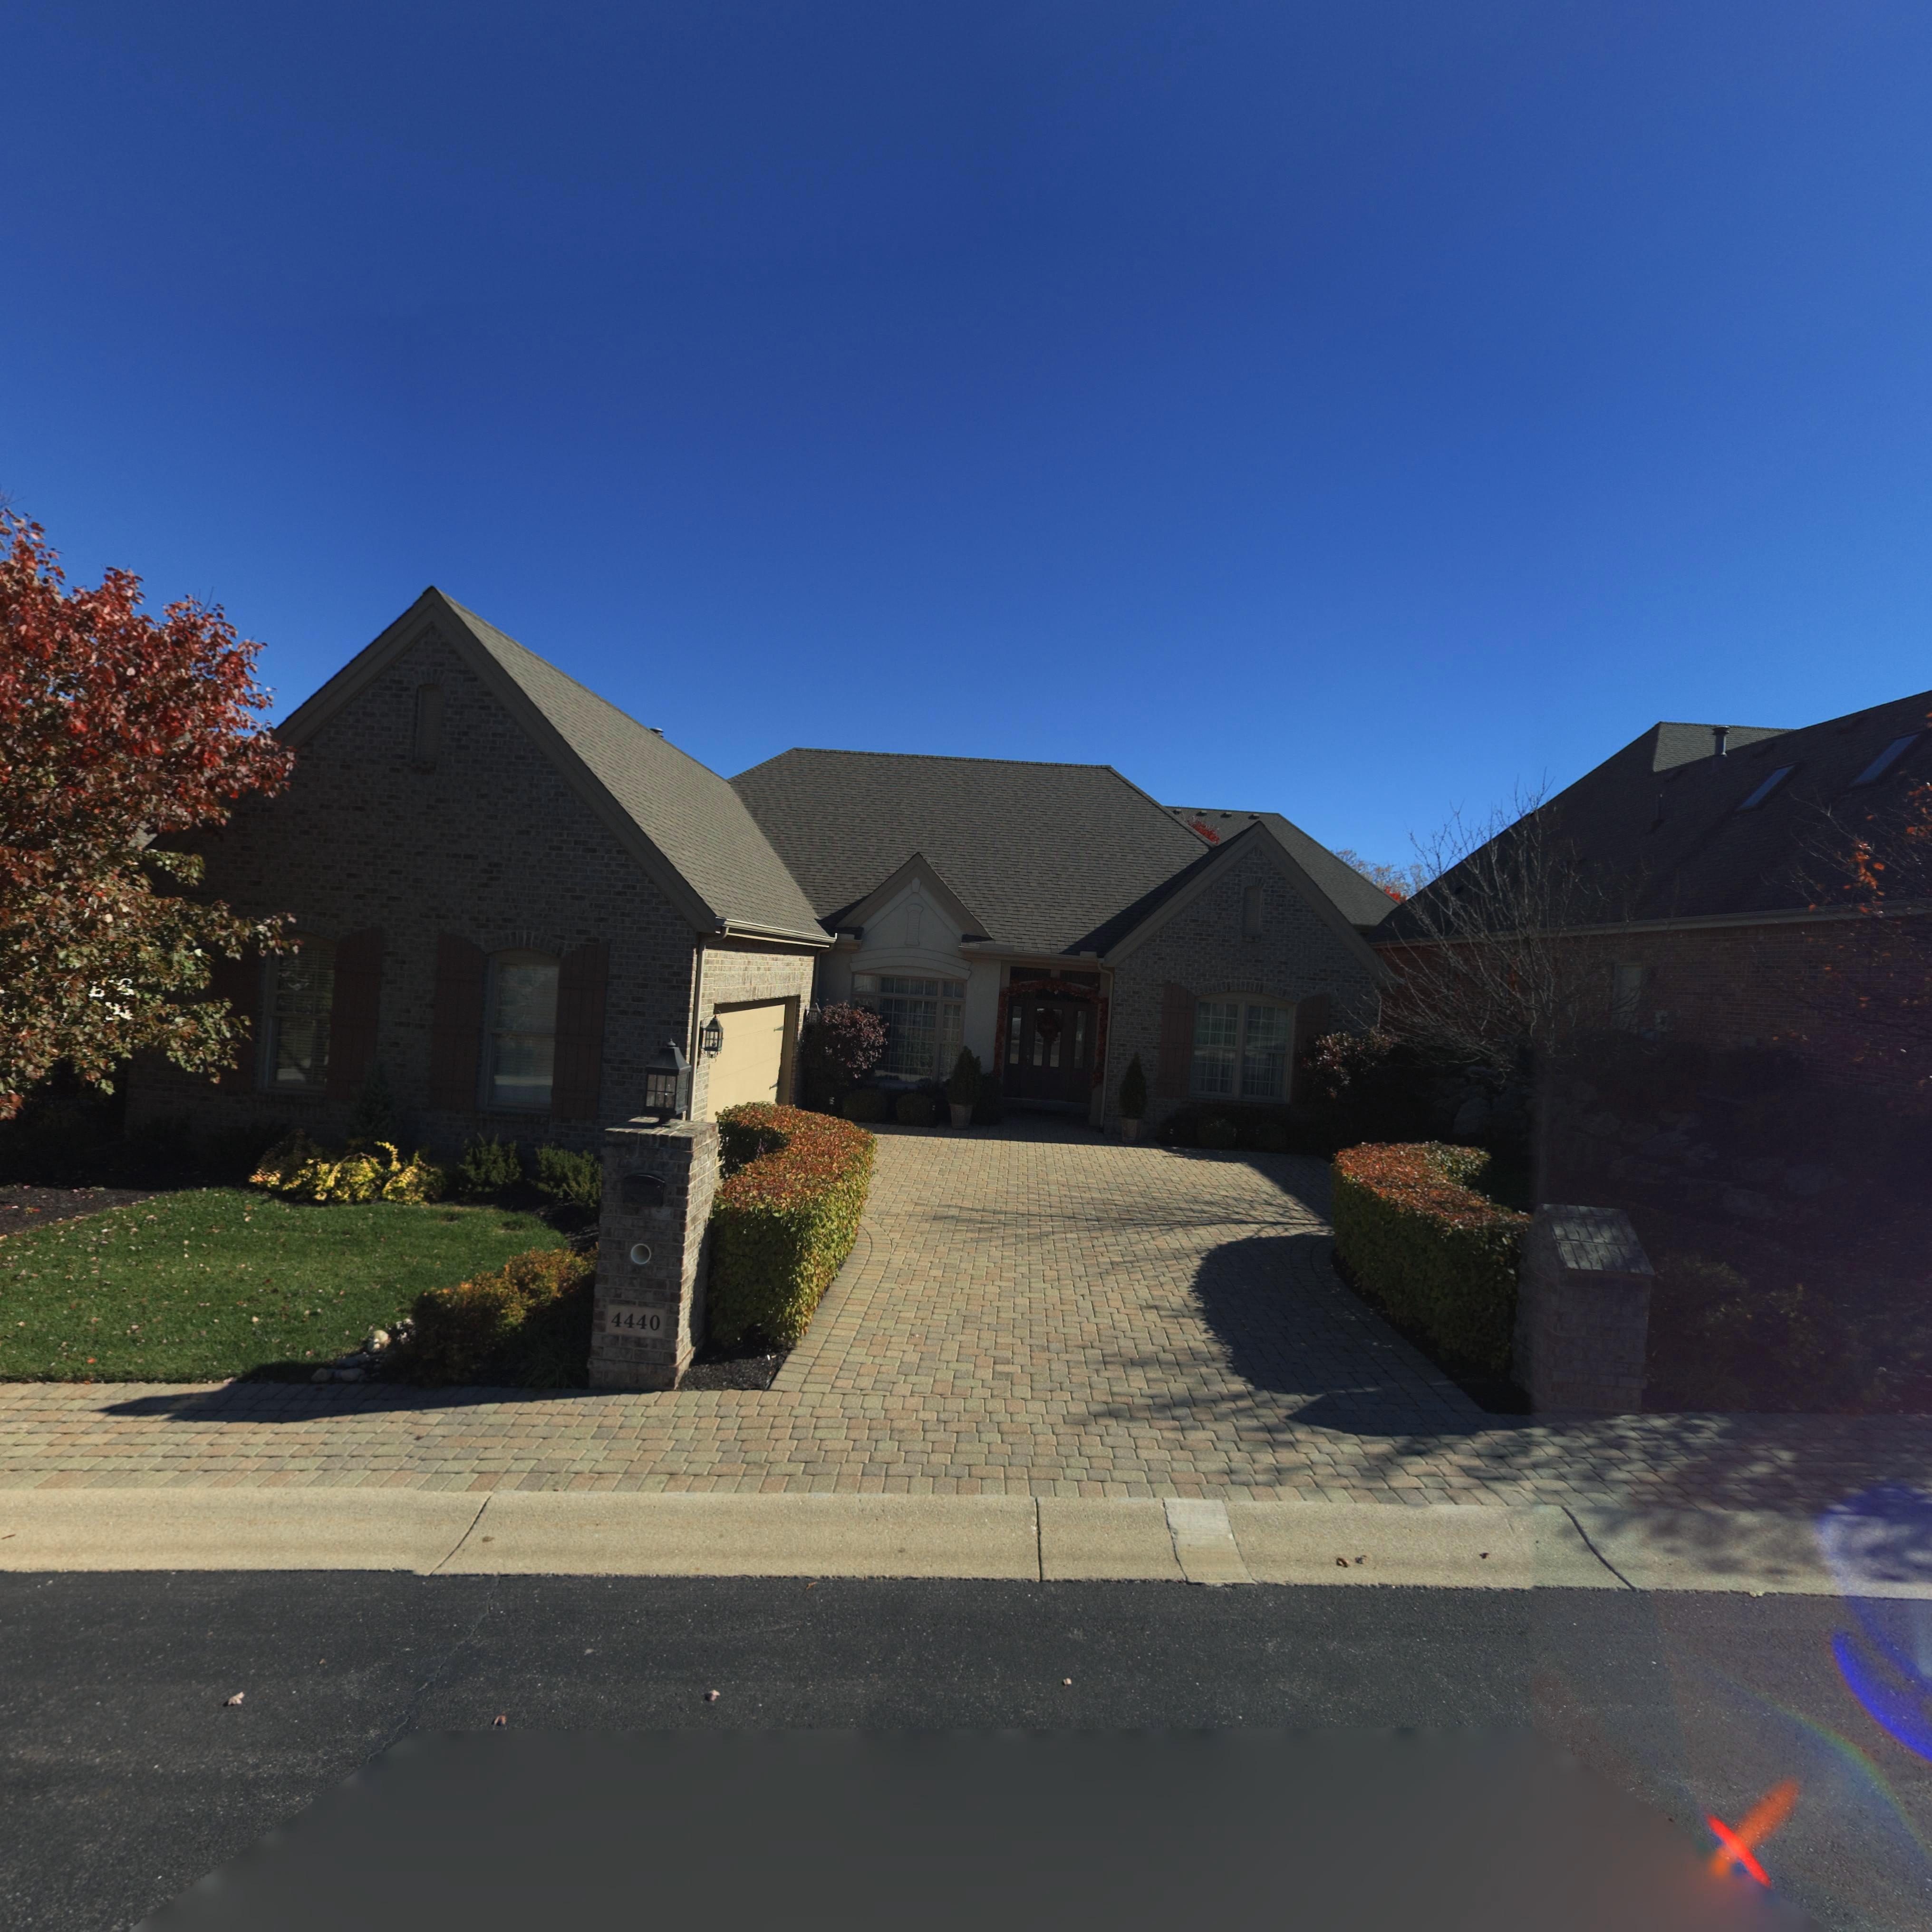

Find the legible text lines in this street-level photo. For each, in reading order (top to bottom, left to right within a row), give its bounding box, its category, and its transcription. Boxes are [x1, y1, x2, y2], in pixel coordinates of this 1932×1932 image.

[609, 1309, 663, 1333] StreetNumber: 4440